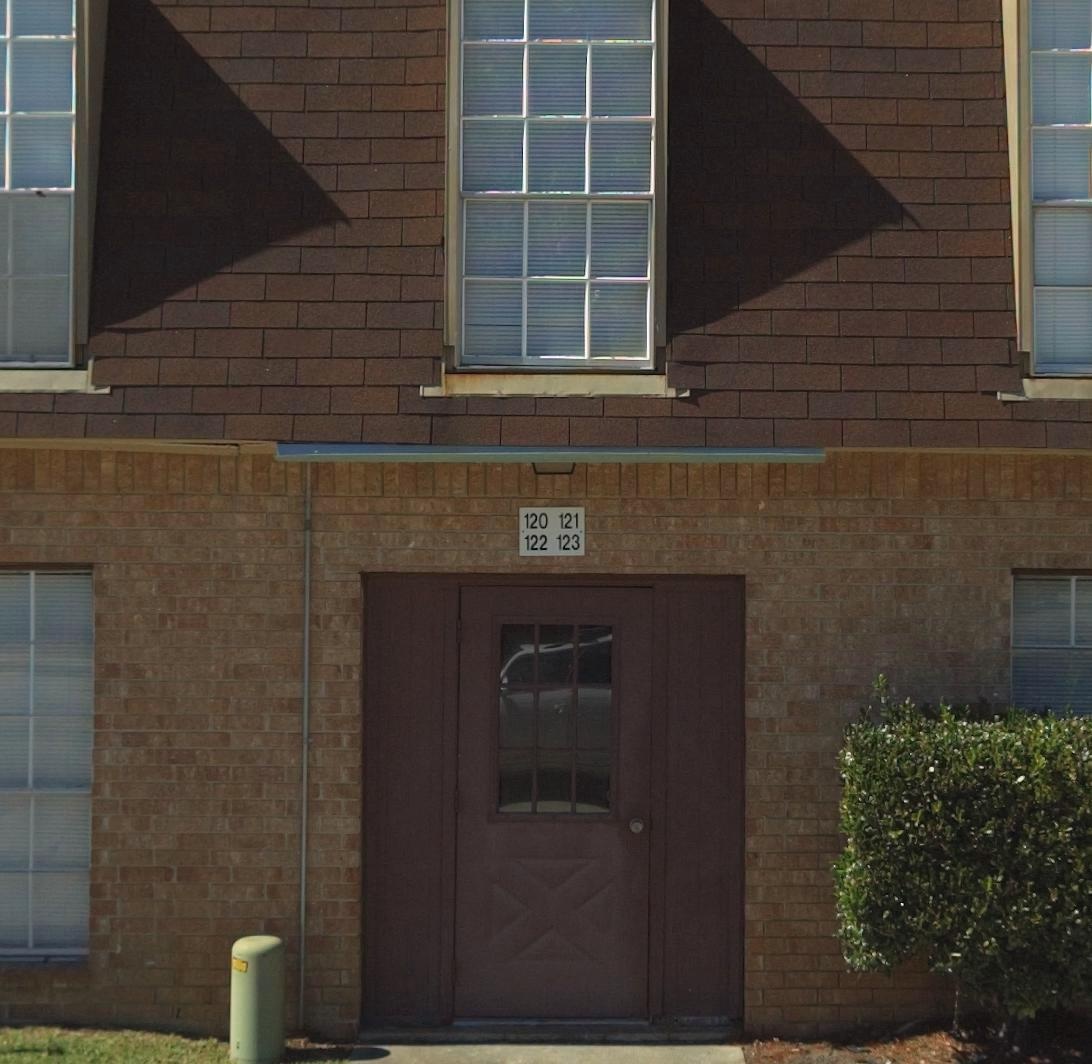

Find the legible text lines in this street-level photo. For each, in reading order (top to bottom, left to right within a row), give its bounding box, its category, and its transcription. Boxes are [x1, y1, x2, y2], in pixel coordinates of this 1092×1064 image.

[522, 510, 550, 531] StreetNumber: 120
[554, 510, 582, 531] StreetNumber: 121
[522, 532, 550, 552] StreetNumber: 122
[554, 532, 582, 552] StreetNumber: 123